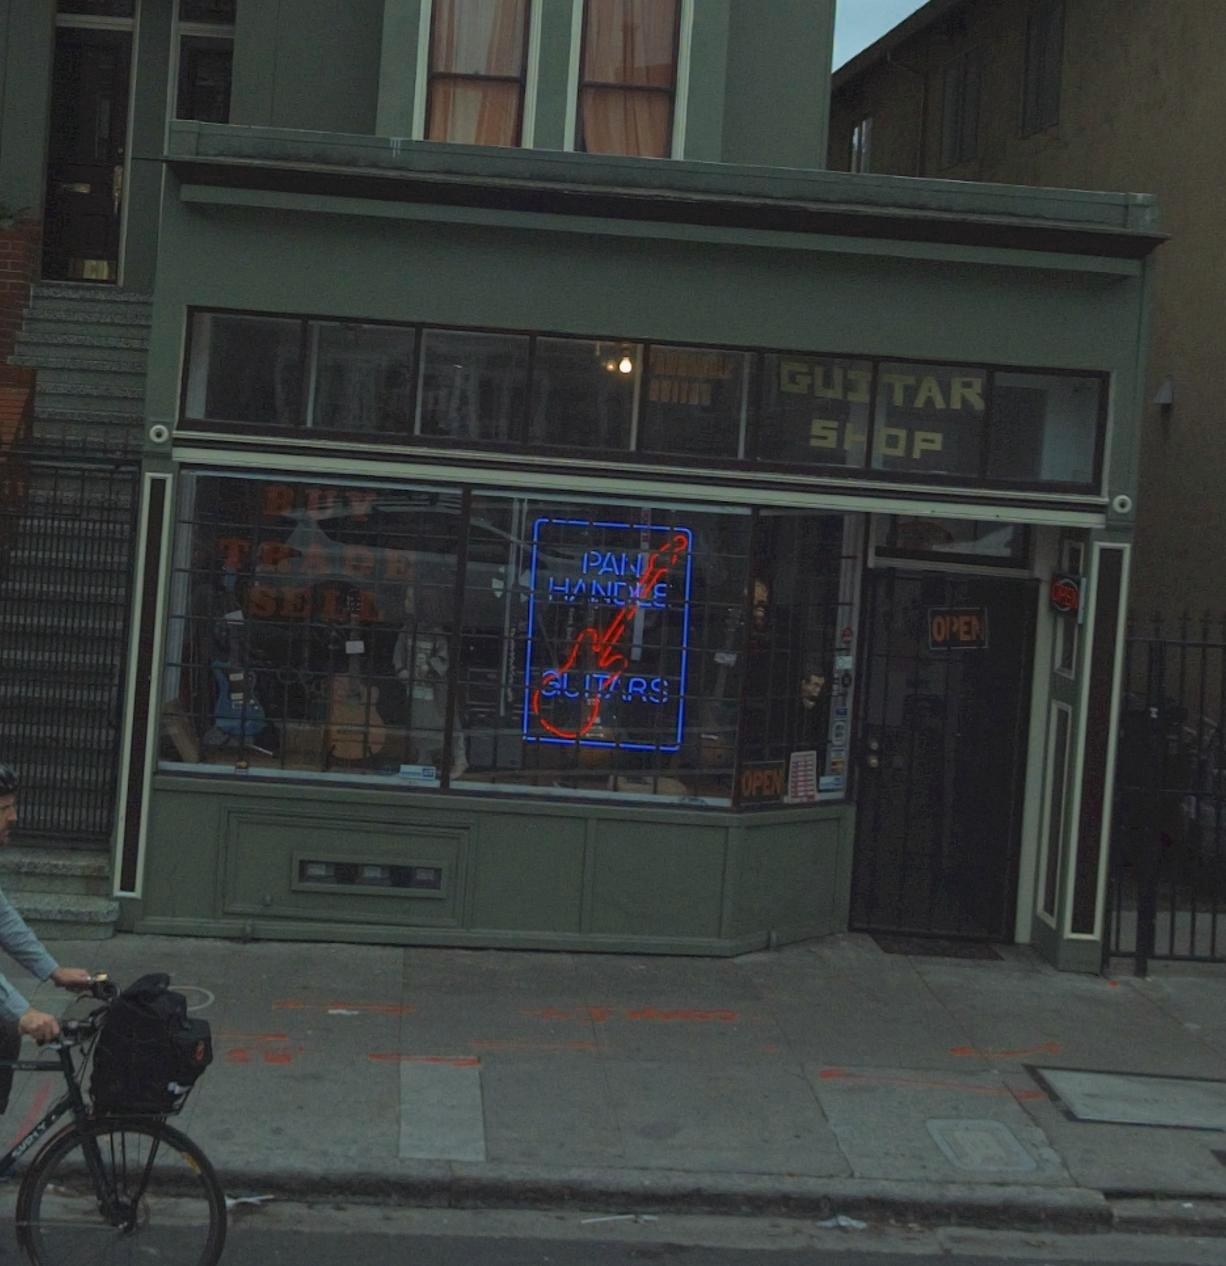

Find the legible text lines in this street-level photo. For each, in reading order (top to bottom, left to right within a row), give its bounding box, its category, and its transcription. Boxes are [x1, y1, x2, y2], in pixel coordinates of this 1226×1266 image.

[778, 359, 987, 413] None: GUITAR
[808, 416, 945, 463] None: S*OP
[262, 482, 378, 524] None: BUY
[216, 538, 421, 584] None: TRADE
[581, 549, 643, 578] BusinessName: PAN
[245, 581, 390, 625] None: SELL
[547, 574, 668, 609] BusinessName: H*N*L*
[1049, 580, 1082, 610] None: OPEN
[930, 614, 987, 645] None: OPE*
[539, 667, 670, 706] BusinessName: G*IT*RS
[740, 766, 784, 798] None: OPEN